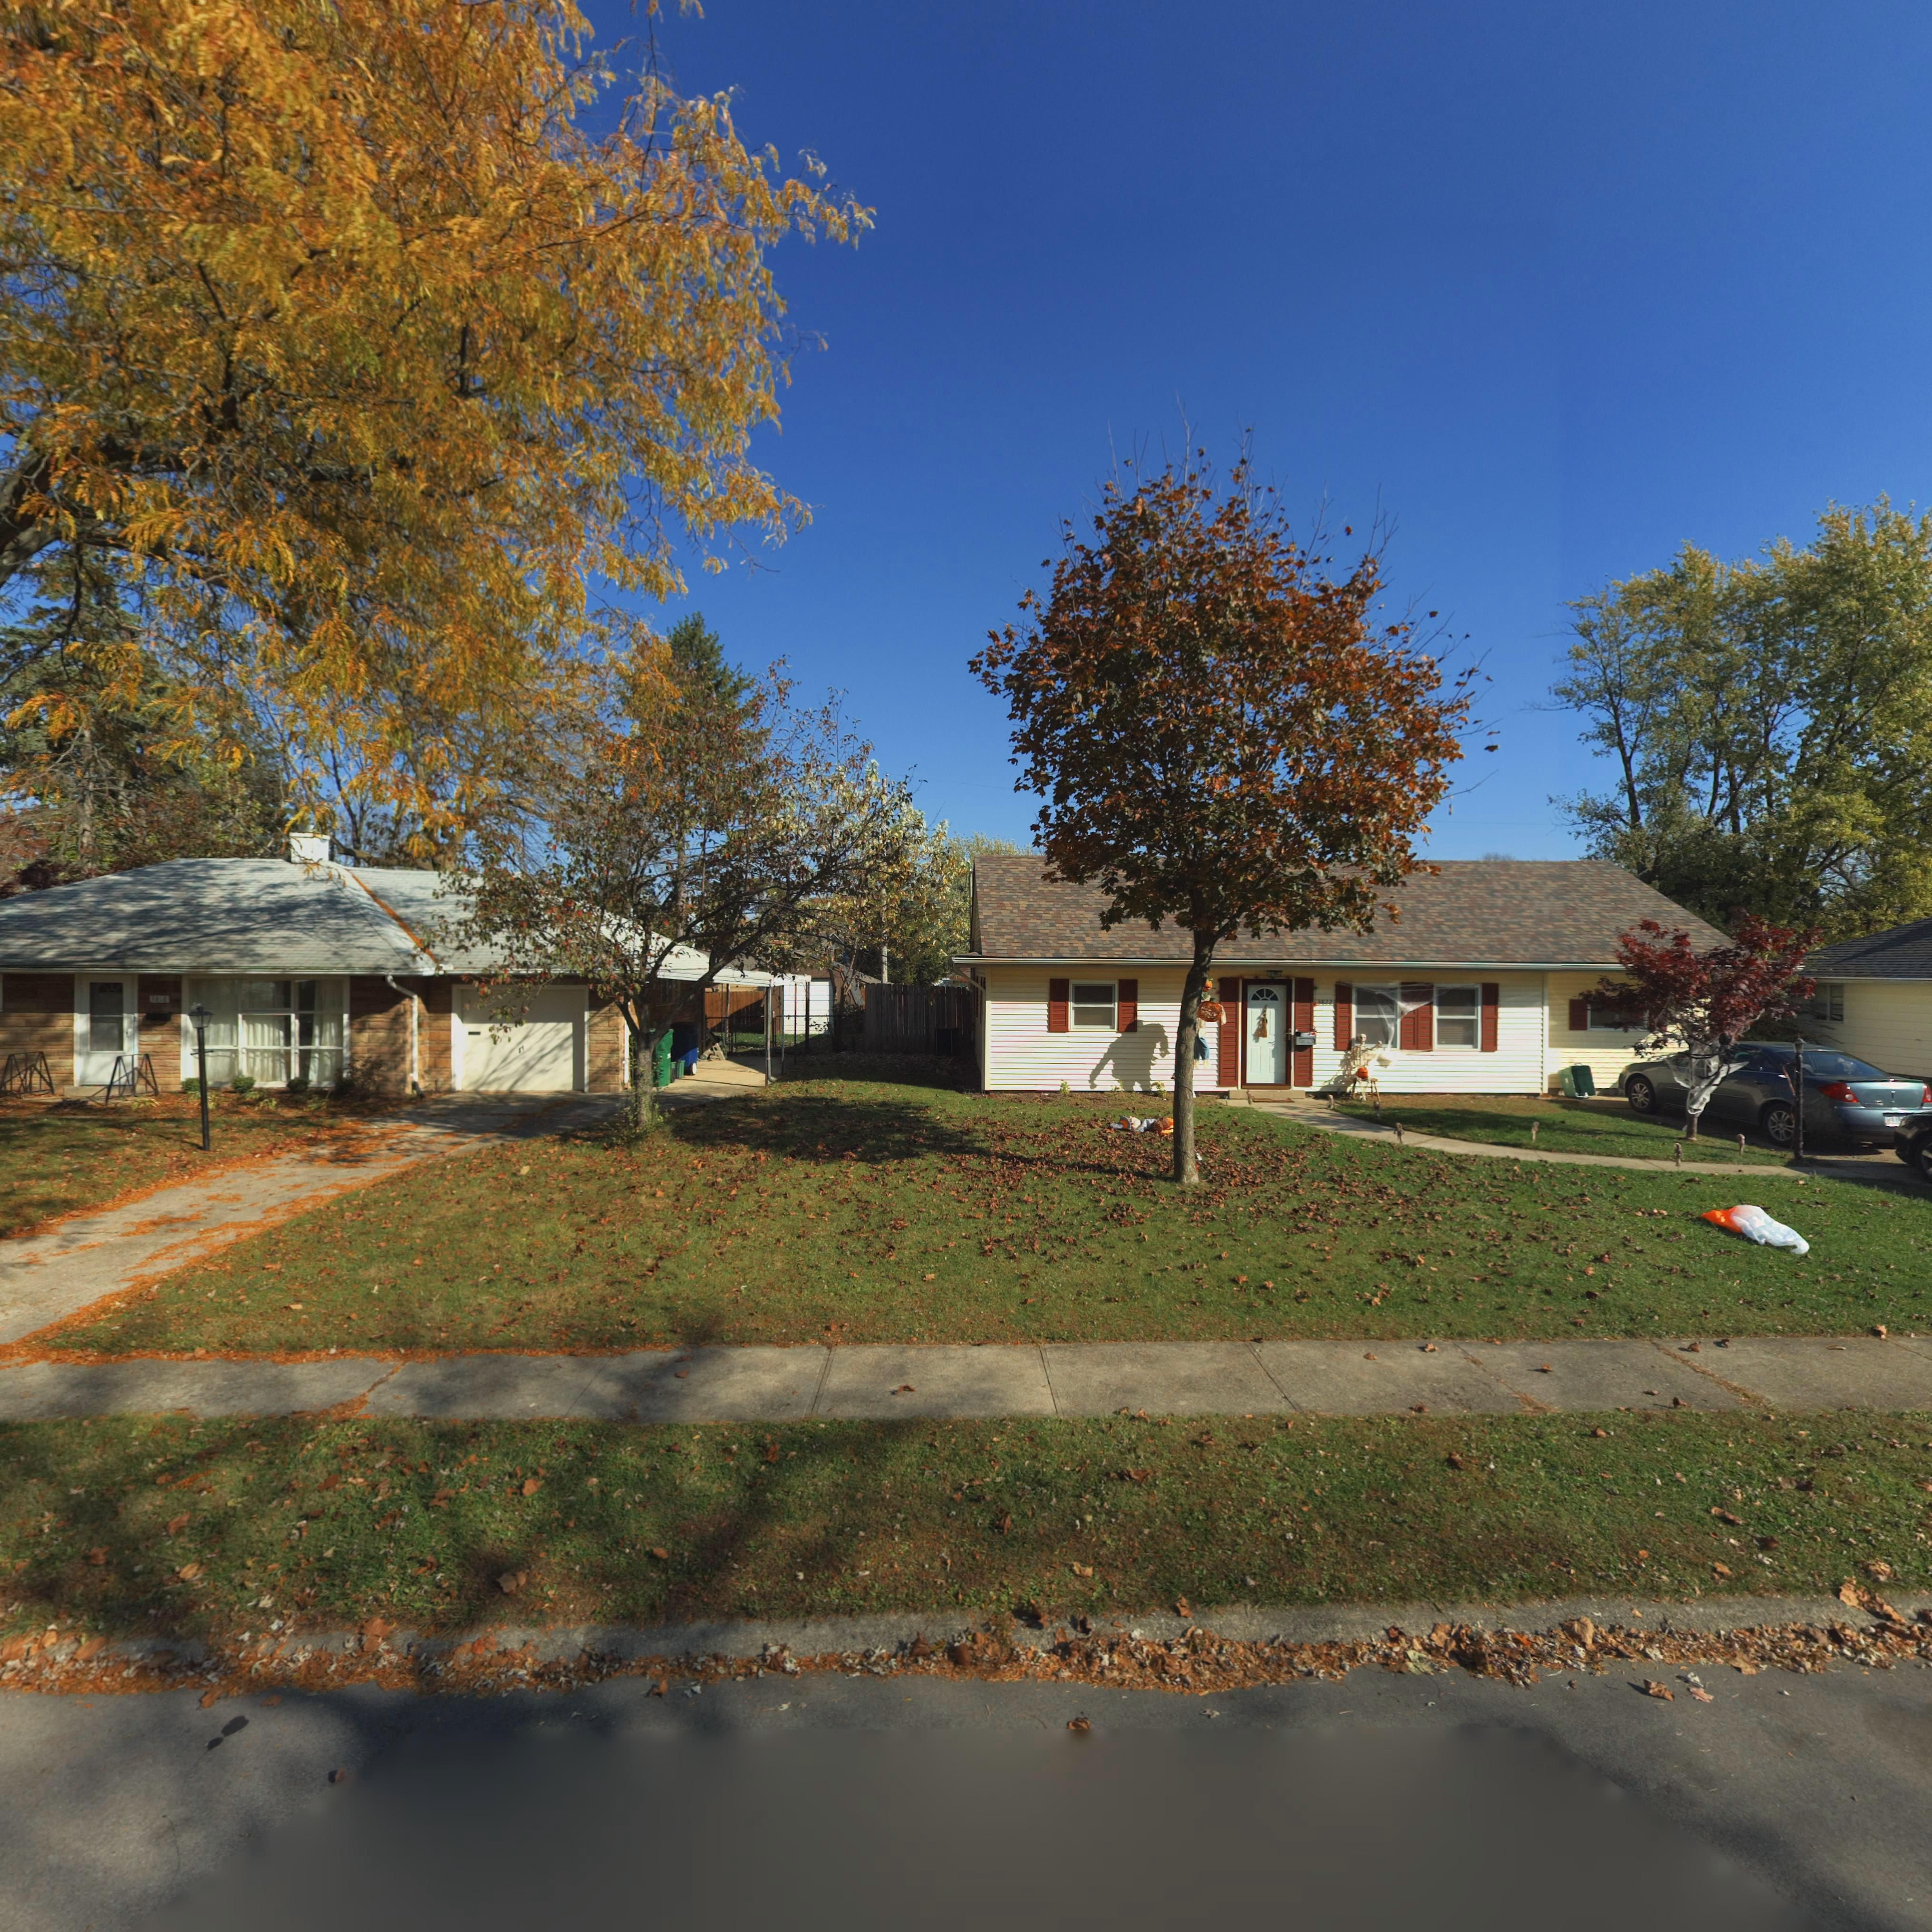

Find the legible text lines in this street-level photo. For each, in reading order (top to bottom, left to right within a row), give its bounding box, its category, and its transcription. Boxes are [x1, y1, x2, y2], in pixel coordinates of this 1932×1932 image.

[1316, 999, 1333, 1005] StreetNumber: 3822